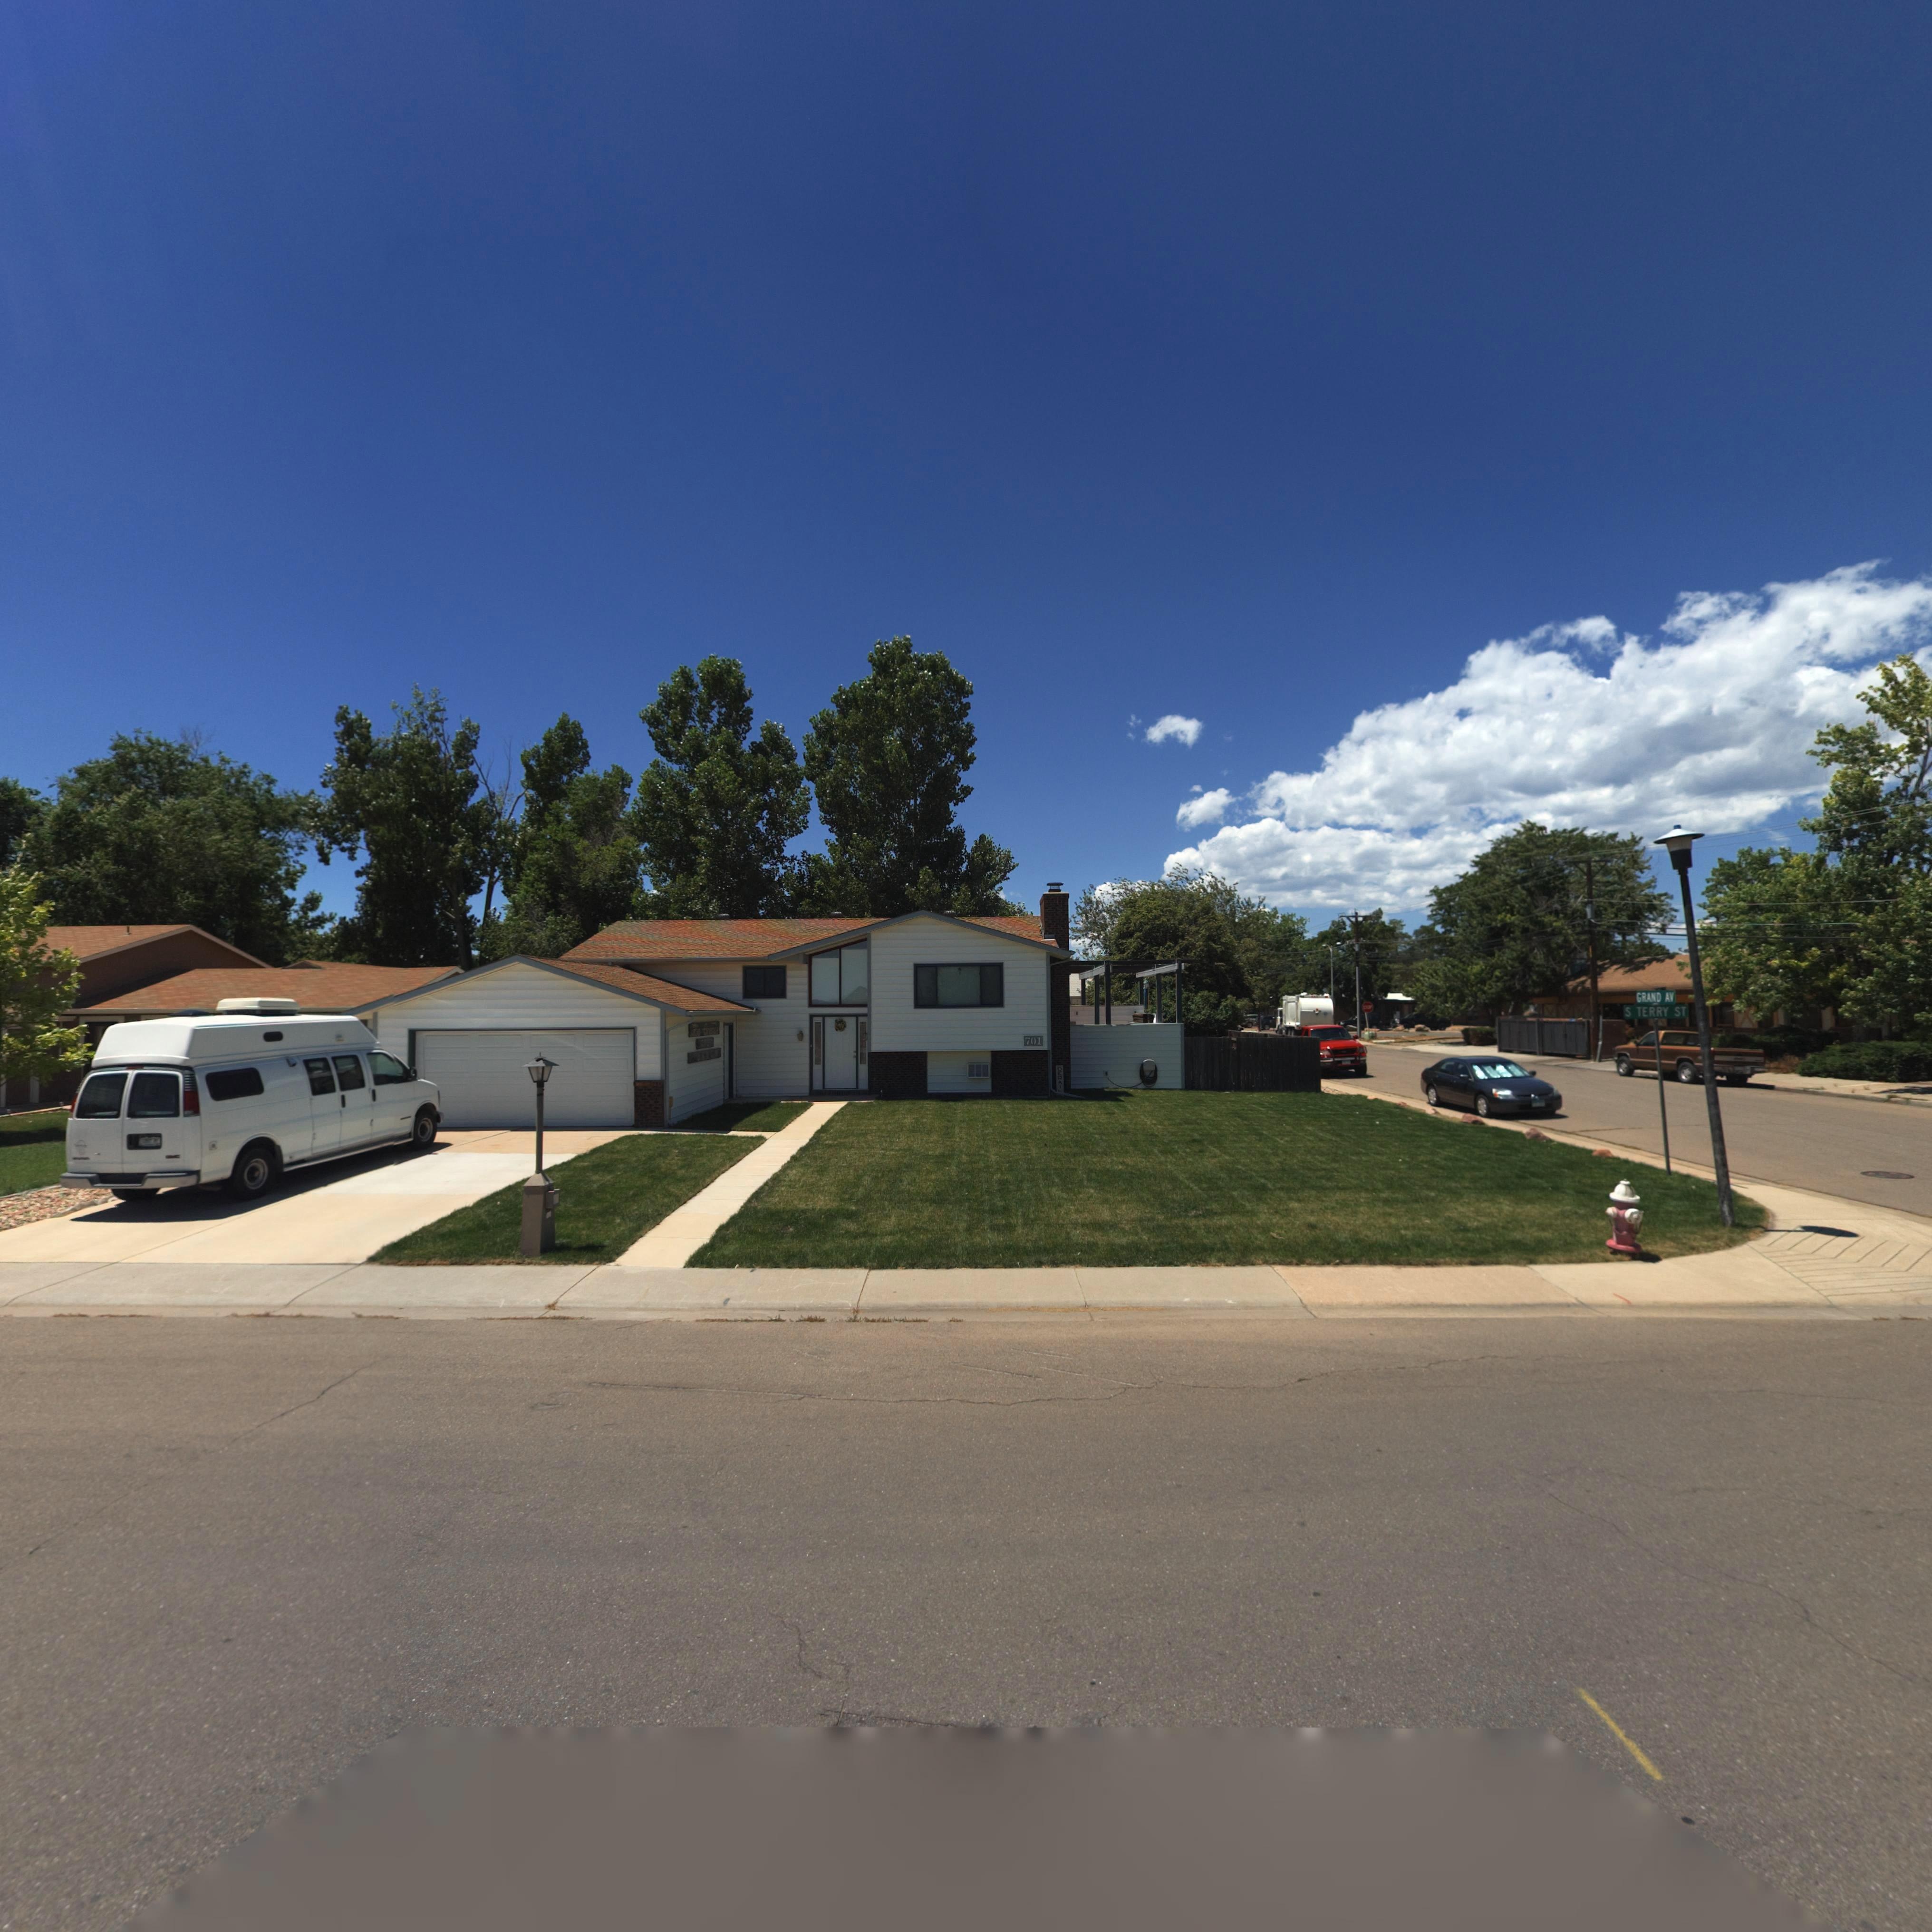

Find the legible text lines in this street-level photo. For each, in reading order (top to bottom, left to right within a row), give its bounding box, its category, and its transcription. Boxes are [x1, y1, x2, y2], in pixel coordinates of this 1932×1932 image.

[1635, 991, 1675, 1003] StreetName: GRAND AV
[1624, 1005, 1687, 1017] StreetName: S TERRY ST
[1025, 1037, 1041, 1045] StreetNumber: 701